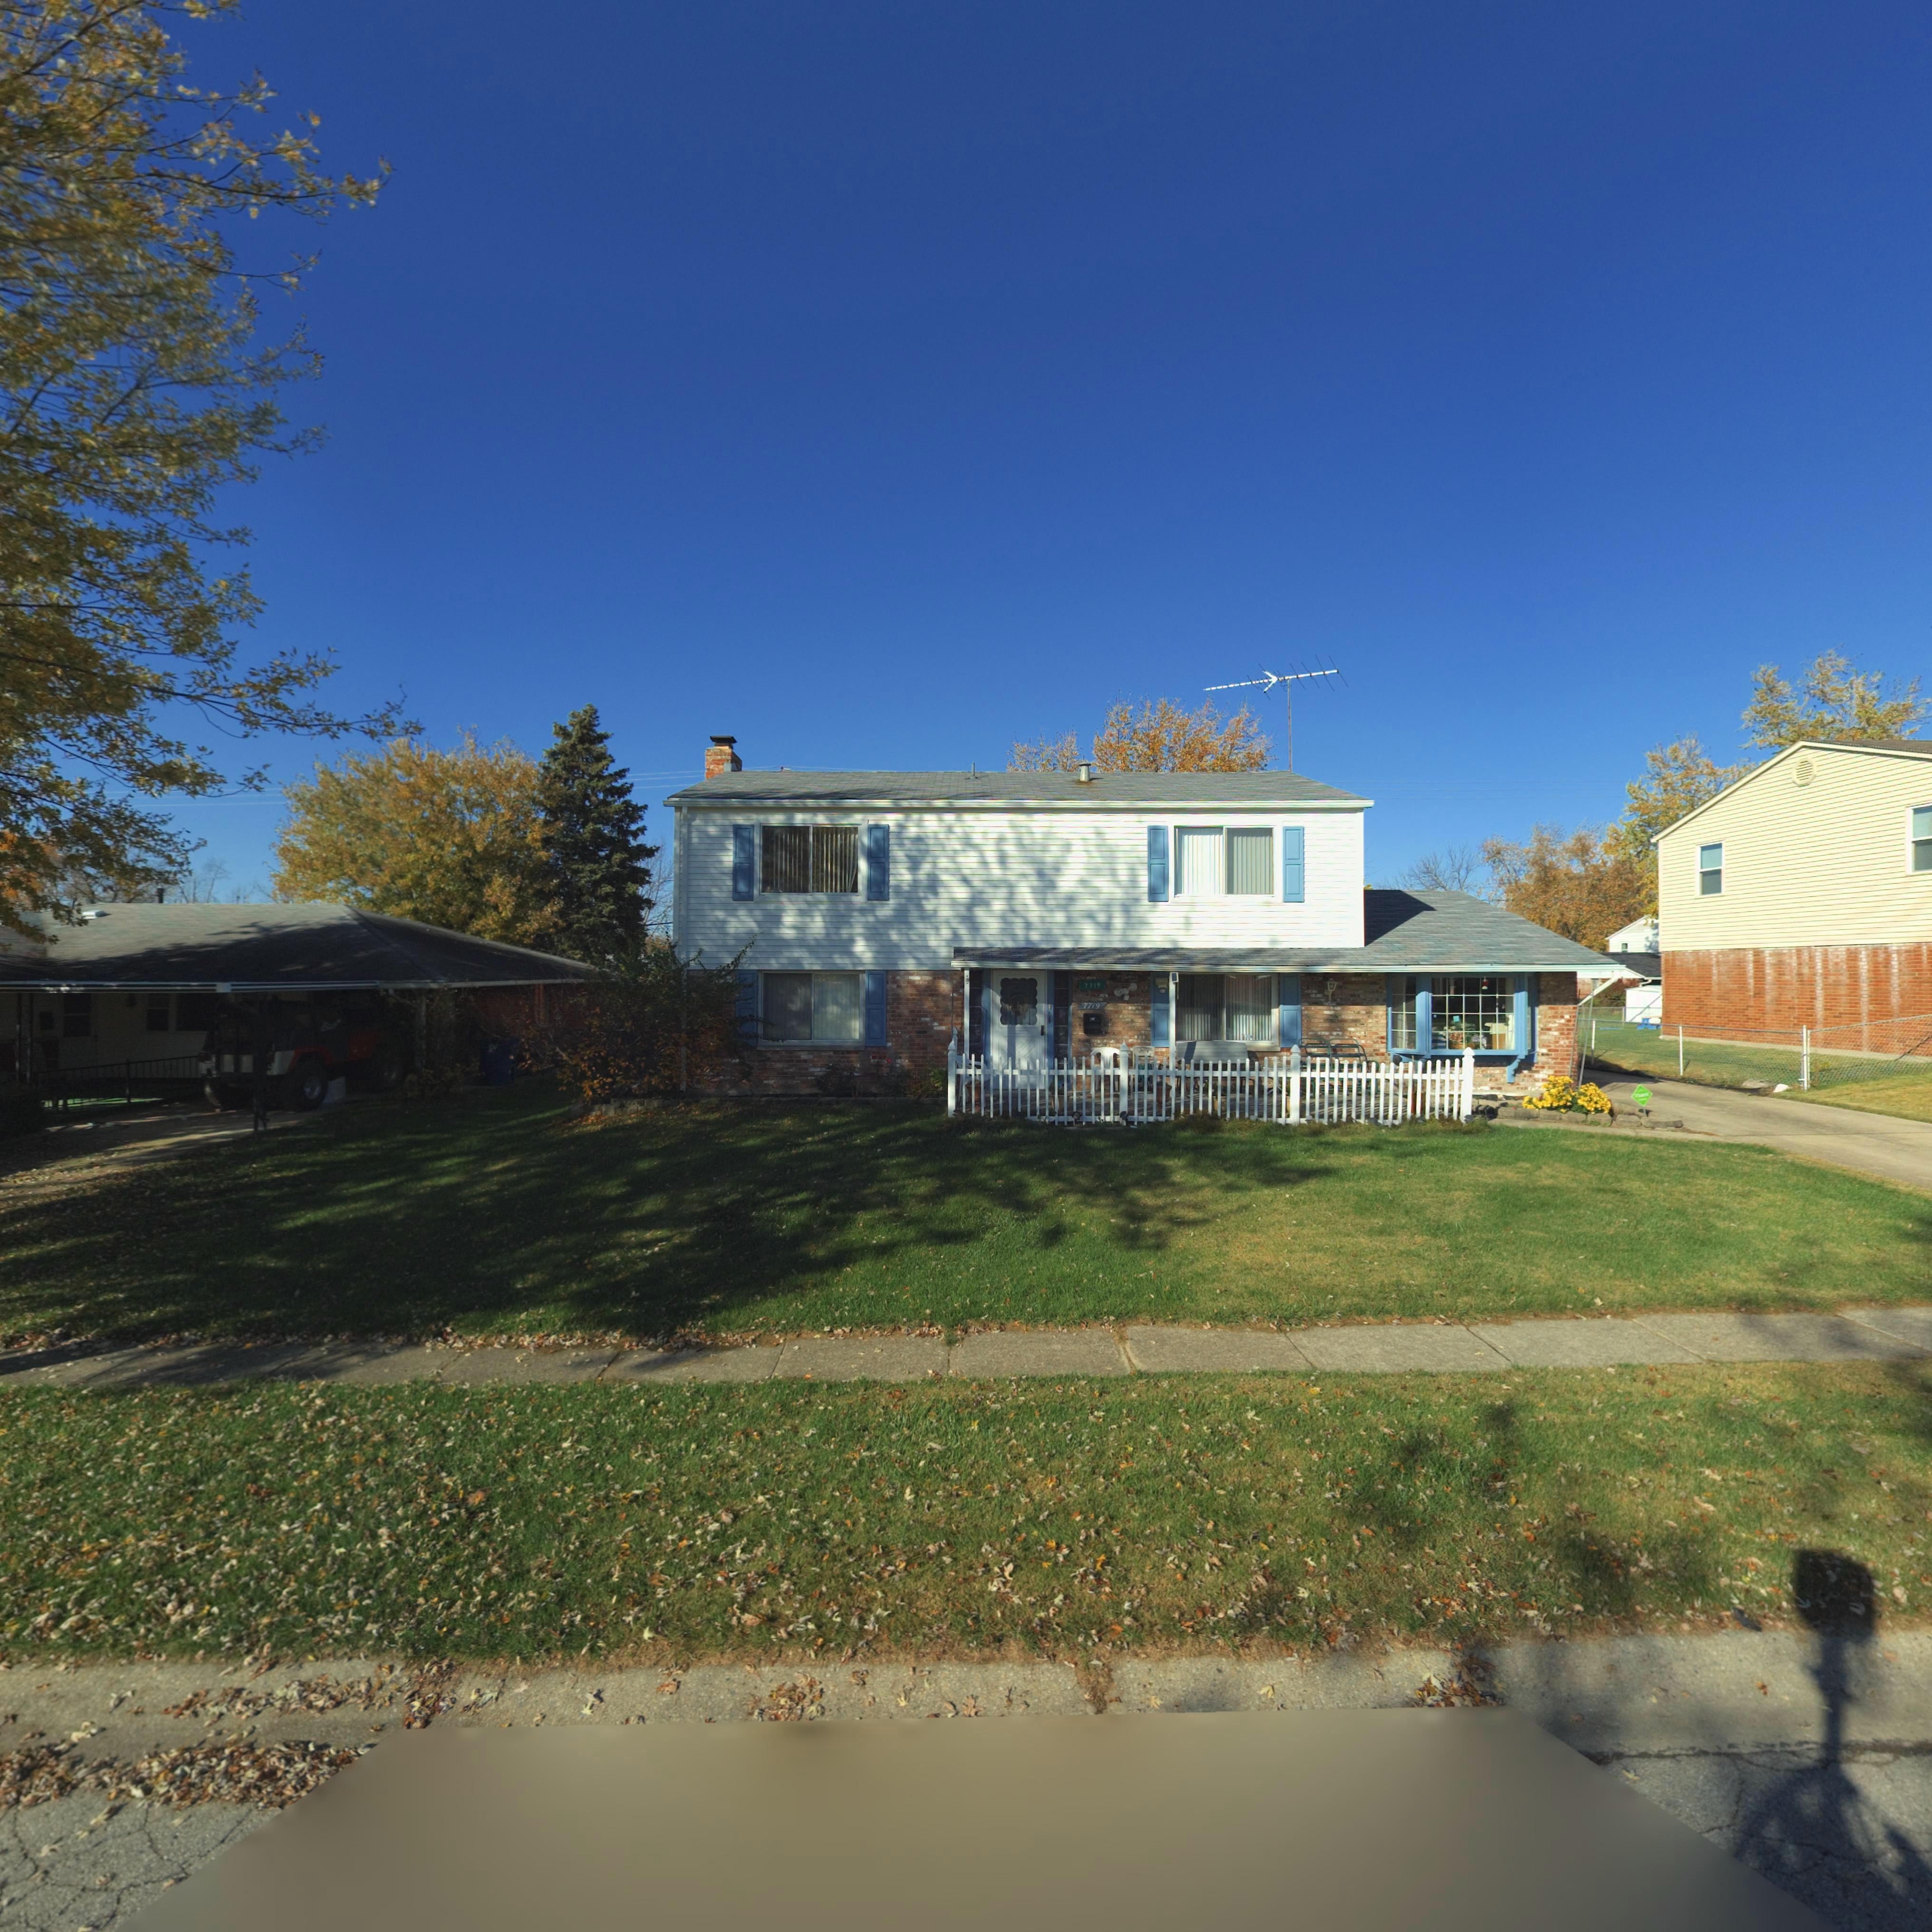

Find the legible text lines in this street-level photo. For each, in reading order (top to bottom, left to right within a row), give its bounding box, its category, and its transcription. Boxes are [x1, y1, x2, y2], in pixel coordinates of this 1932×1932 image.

[1083, 982, 1101, 989] StreetNumber: 7719
[1082, 1002, 1101, 1009] StreetNumber: 7719